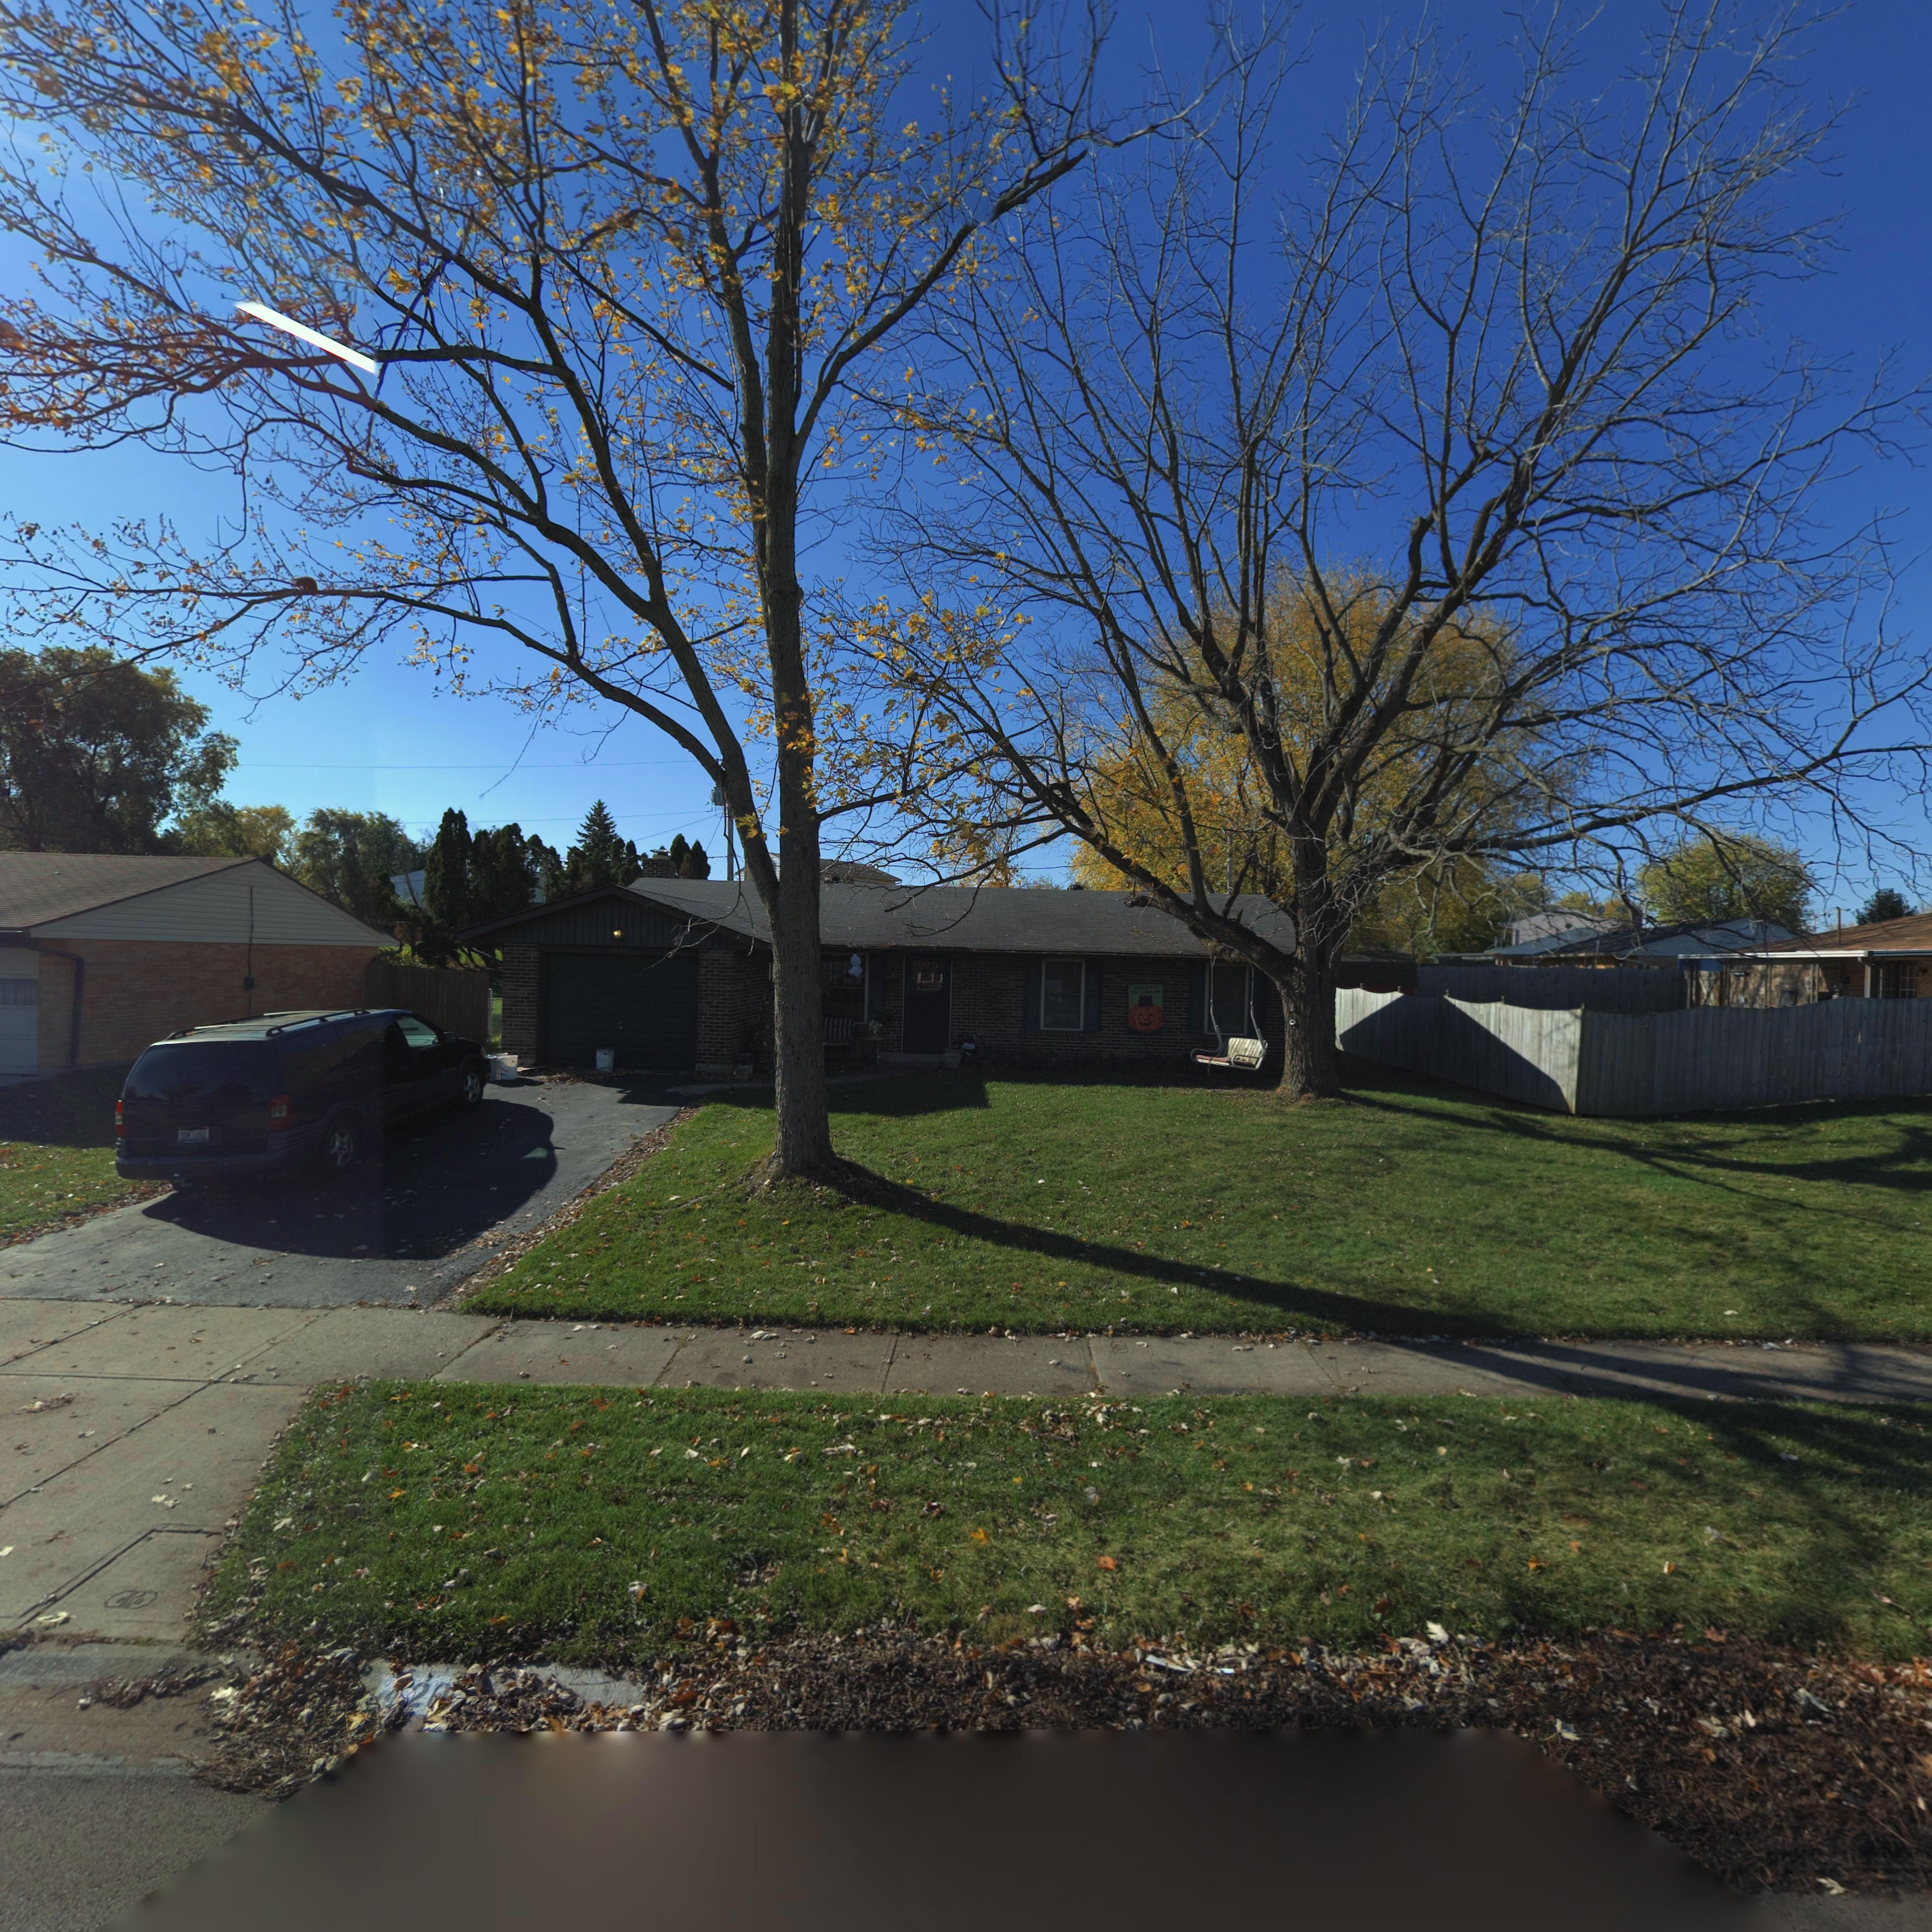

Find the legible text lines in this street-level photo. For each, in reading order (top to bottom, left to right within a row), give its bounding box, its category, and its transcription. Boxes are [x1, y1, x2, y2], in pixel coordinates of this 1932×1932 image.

[402, 1679, 434, 1710] StreetNumber: 2